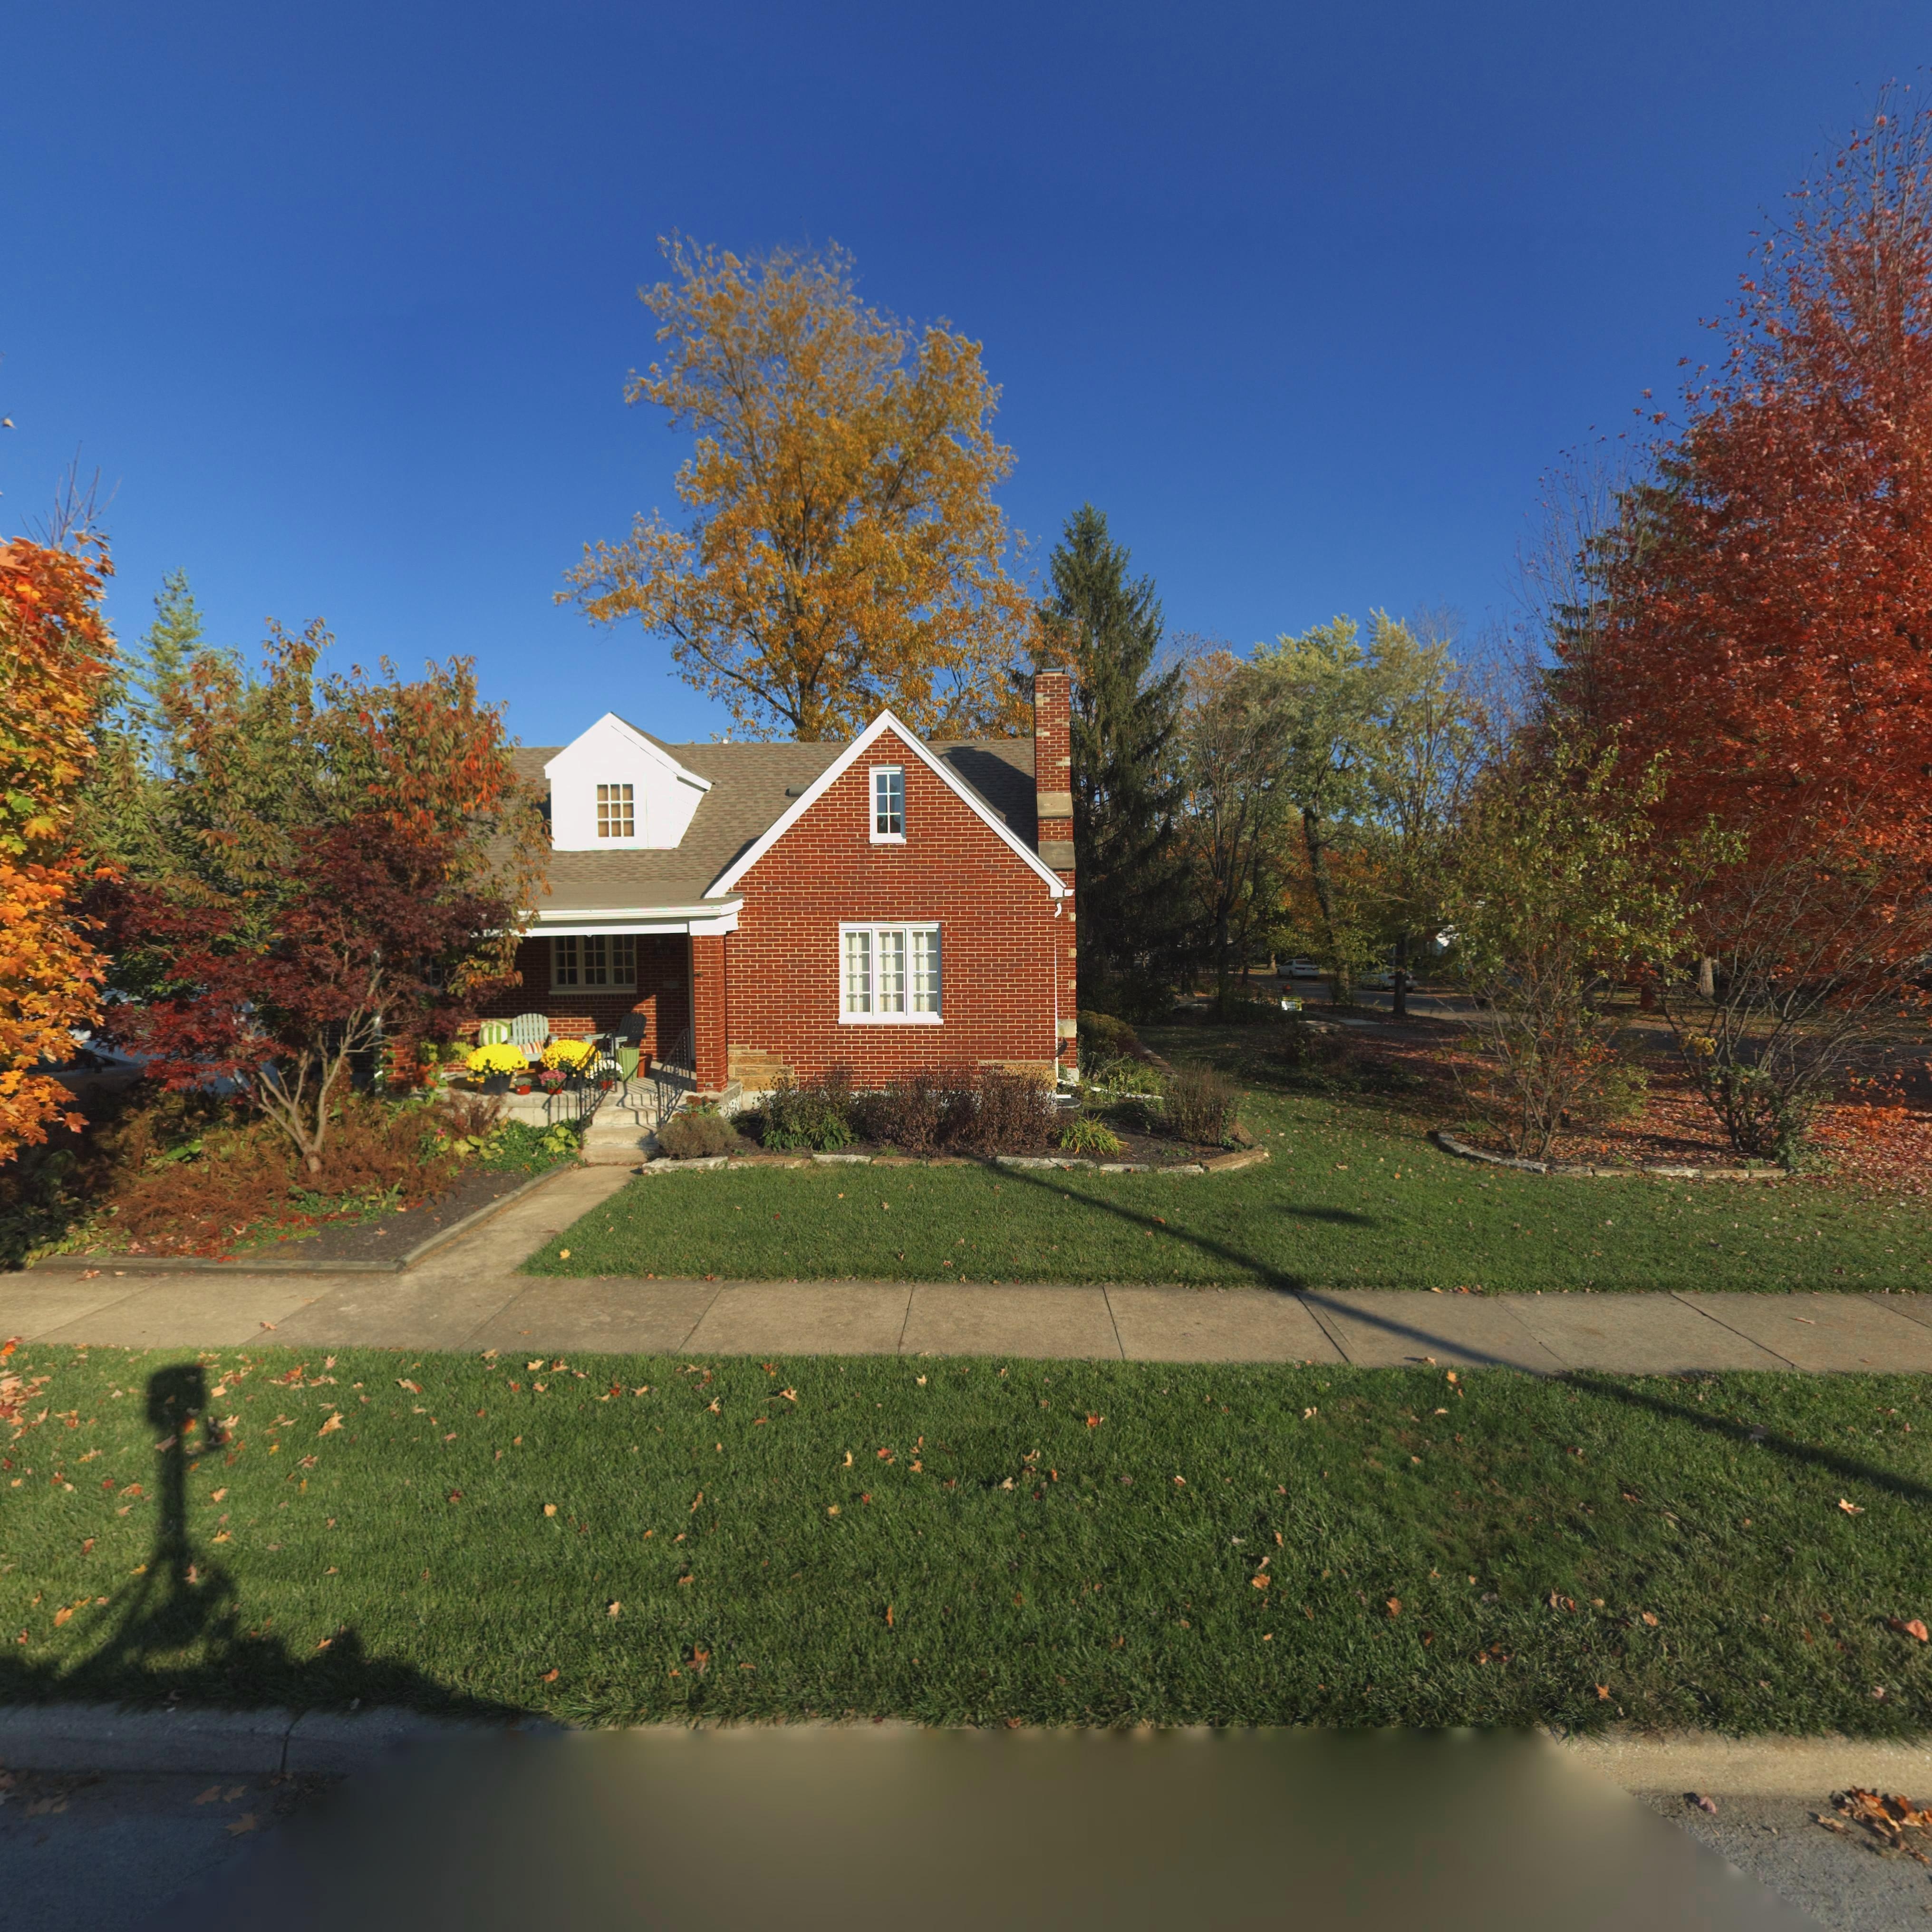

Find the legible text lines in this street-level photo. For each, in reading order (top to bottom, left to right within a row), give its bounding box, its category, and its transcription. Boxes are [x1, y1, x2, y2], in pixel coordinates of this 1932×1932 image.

[656, 947, 671, 956] StreetNumber: 1616